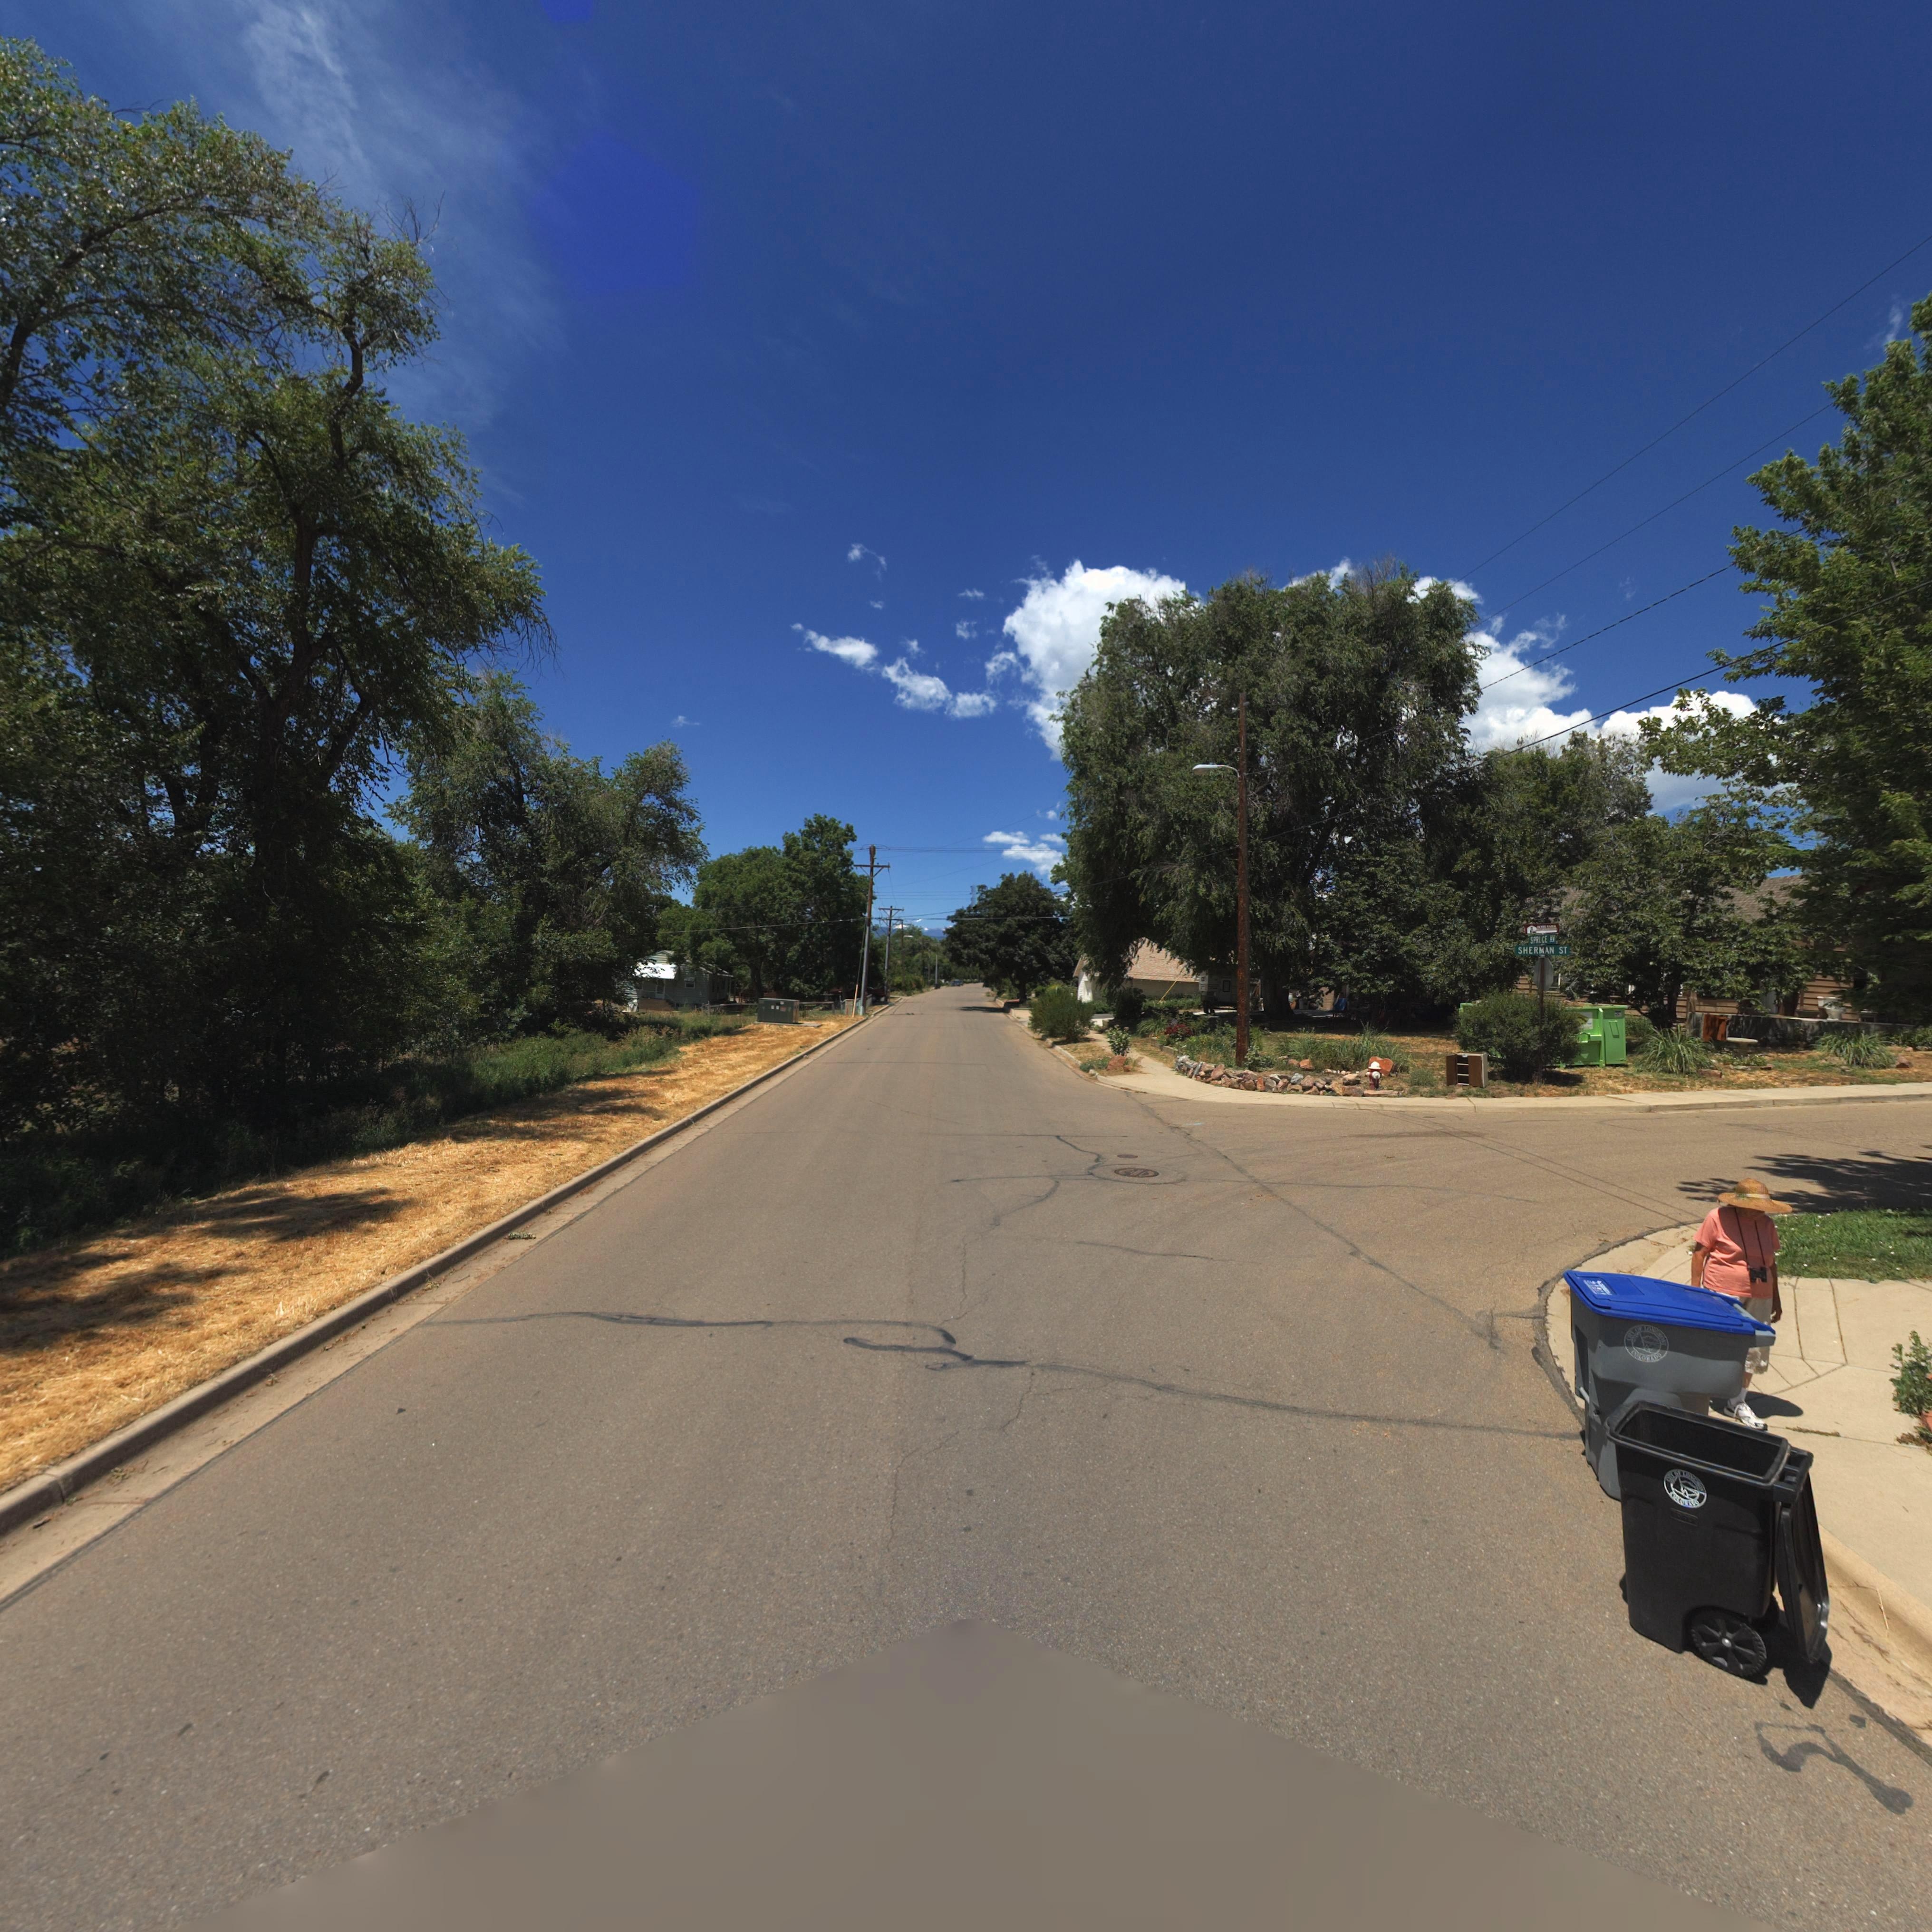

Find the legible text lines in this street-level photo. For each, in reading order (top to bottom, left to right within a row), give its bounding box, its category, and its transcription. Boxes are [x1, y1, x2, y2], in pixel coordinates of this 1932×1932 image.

[1530, 935, 1555, 944] StreetName: SPR*CE AV
[1518, 946, 1567, 954] StreetName: SHERMAN ST